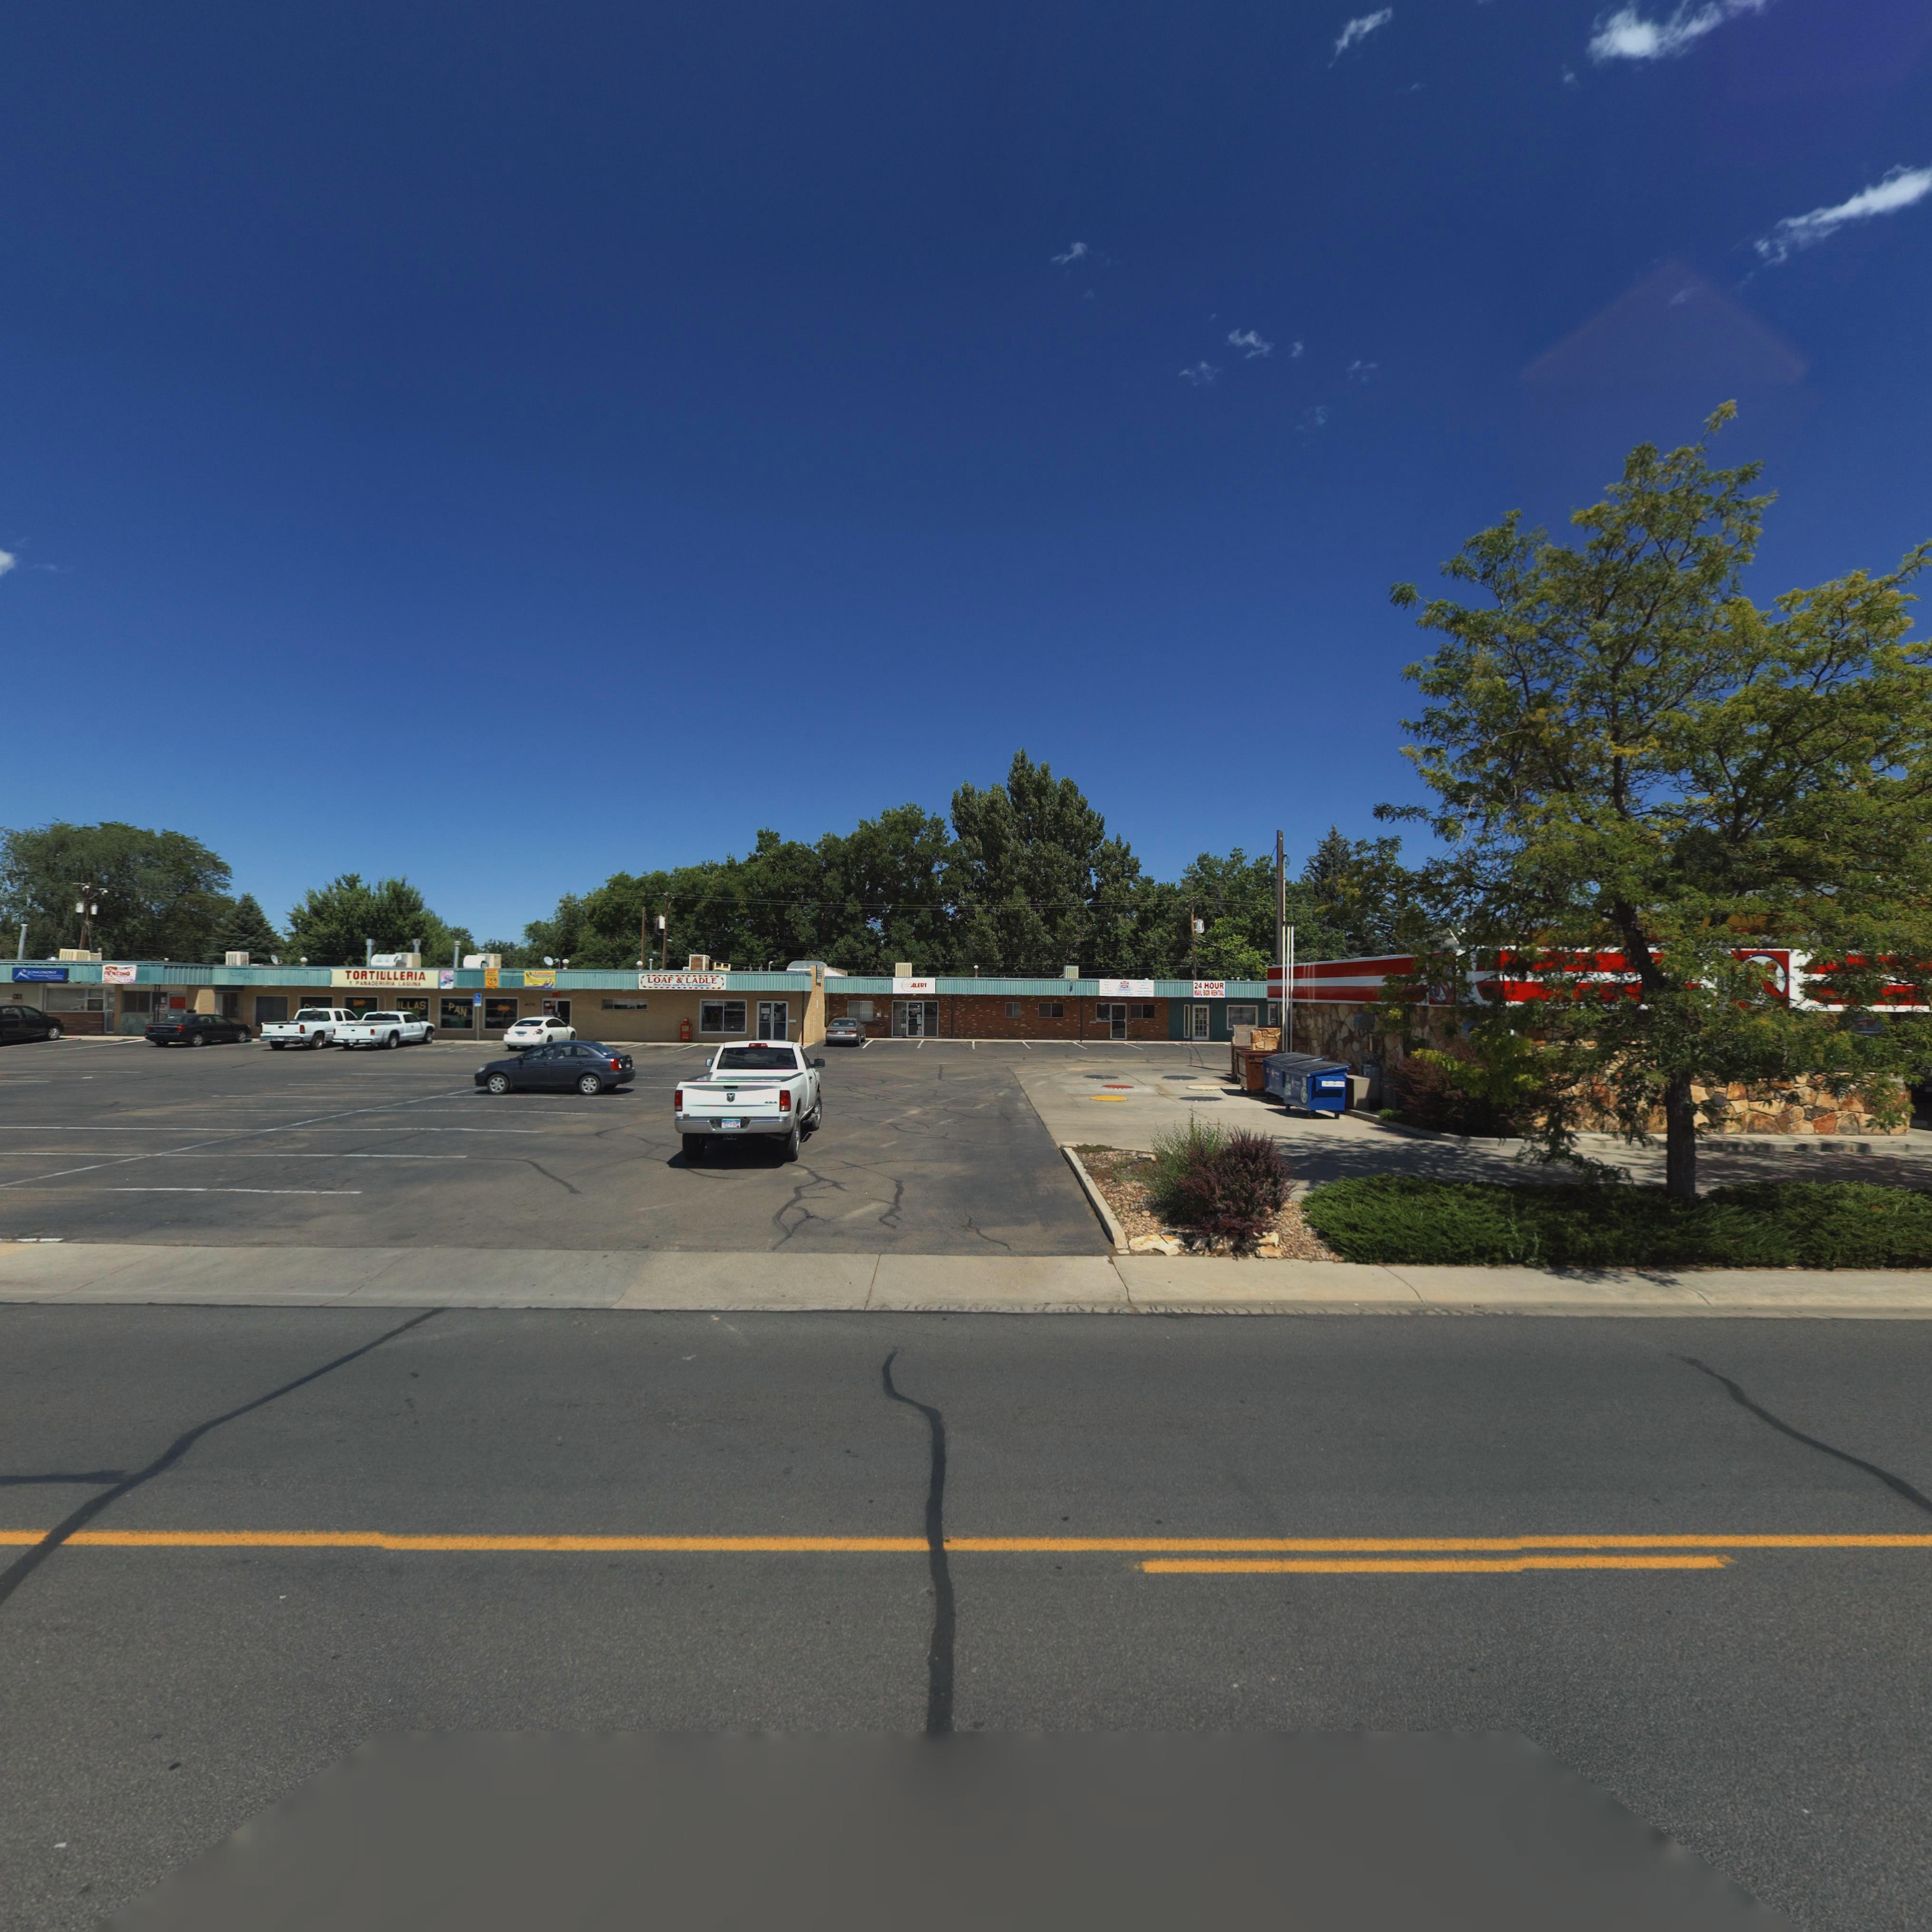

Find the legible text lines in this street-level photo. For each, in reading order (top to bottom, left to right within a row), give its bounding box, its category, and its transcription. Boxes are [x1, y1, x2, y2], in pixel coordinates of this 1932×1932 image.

[345, 970, 426, 981] BusinessName: TORTILLERIA
[647, 976, 717, 983] BusinessName: LOAF & LADLE
[909, 982, 927, 987] BusinessName: ALERT
[1194, 982, 1224, 989] BusinessName: 24 HOUR
[1194, 990, 1224, 996] BusinessName: MAIL BOX RENTAL